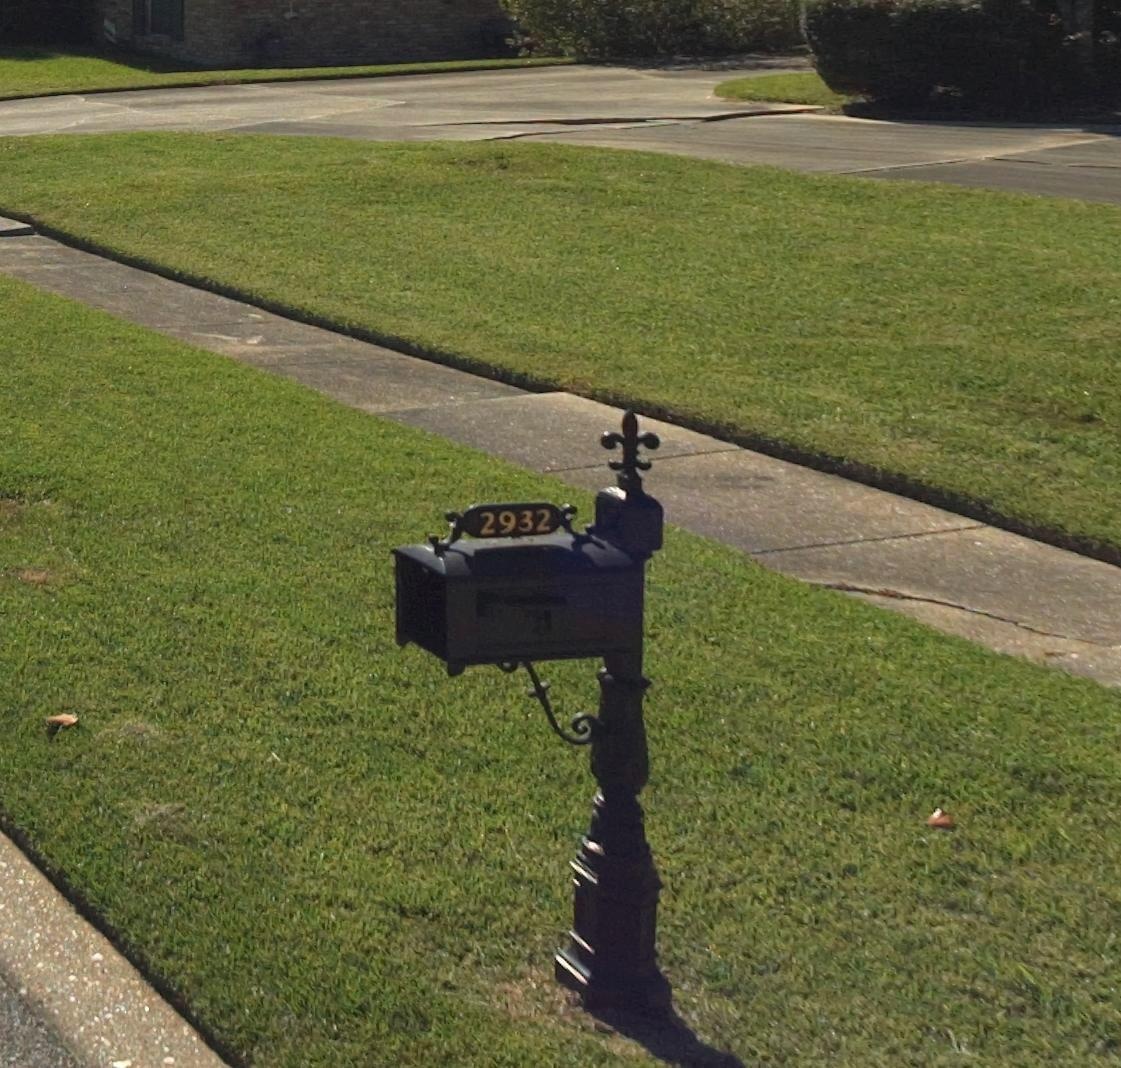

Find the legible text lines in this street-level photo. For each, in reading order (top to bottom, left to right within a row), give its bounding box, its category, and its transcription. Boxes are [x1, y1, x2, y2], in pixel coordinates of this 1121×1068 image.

[477, 505, 554, 538] StreetNumber: 2932